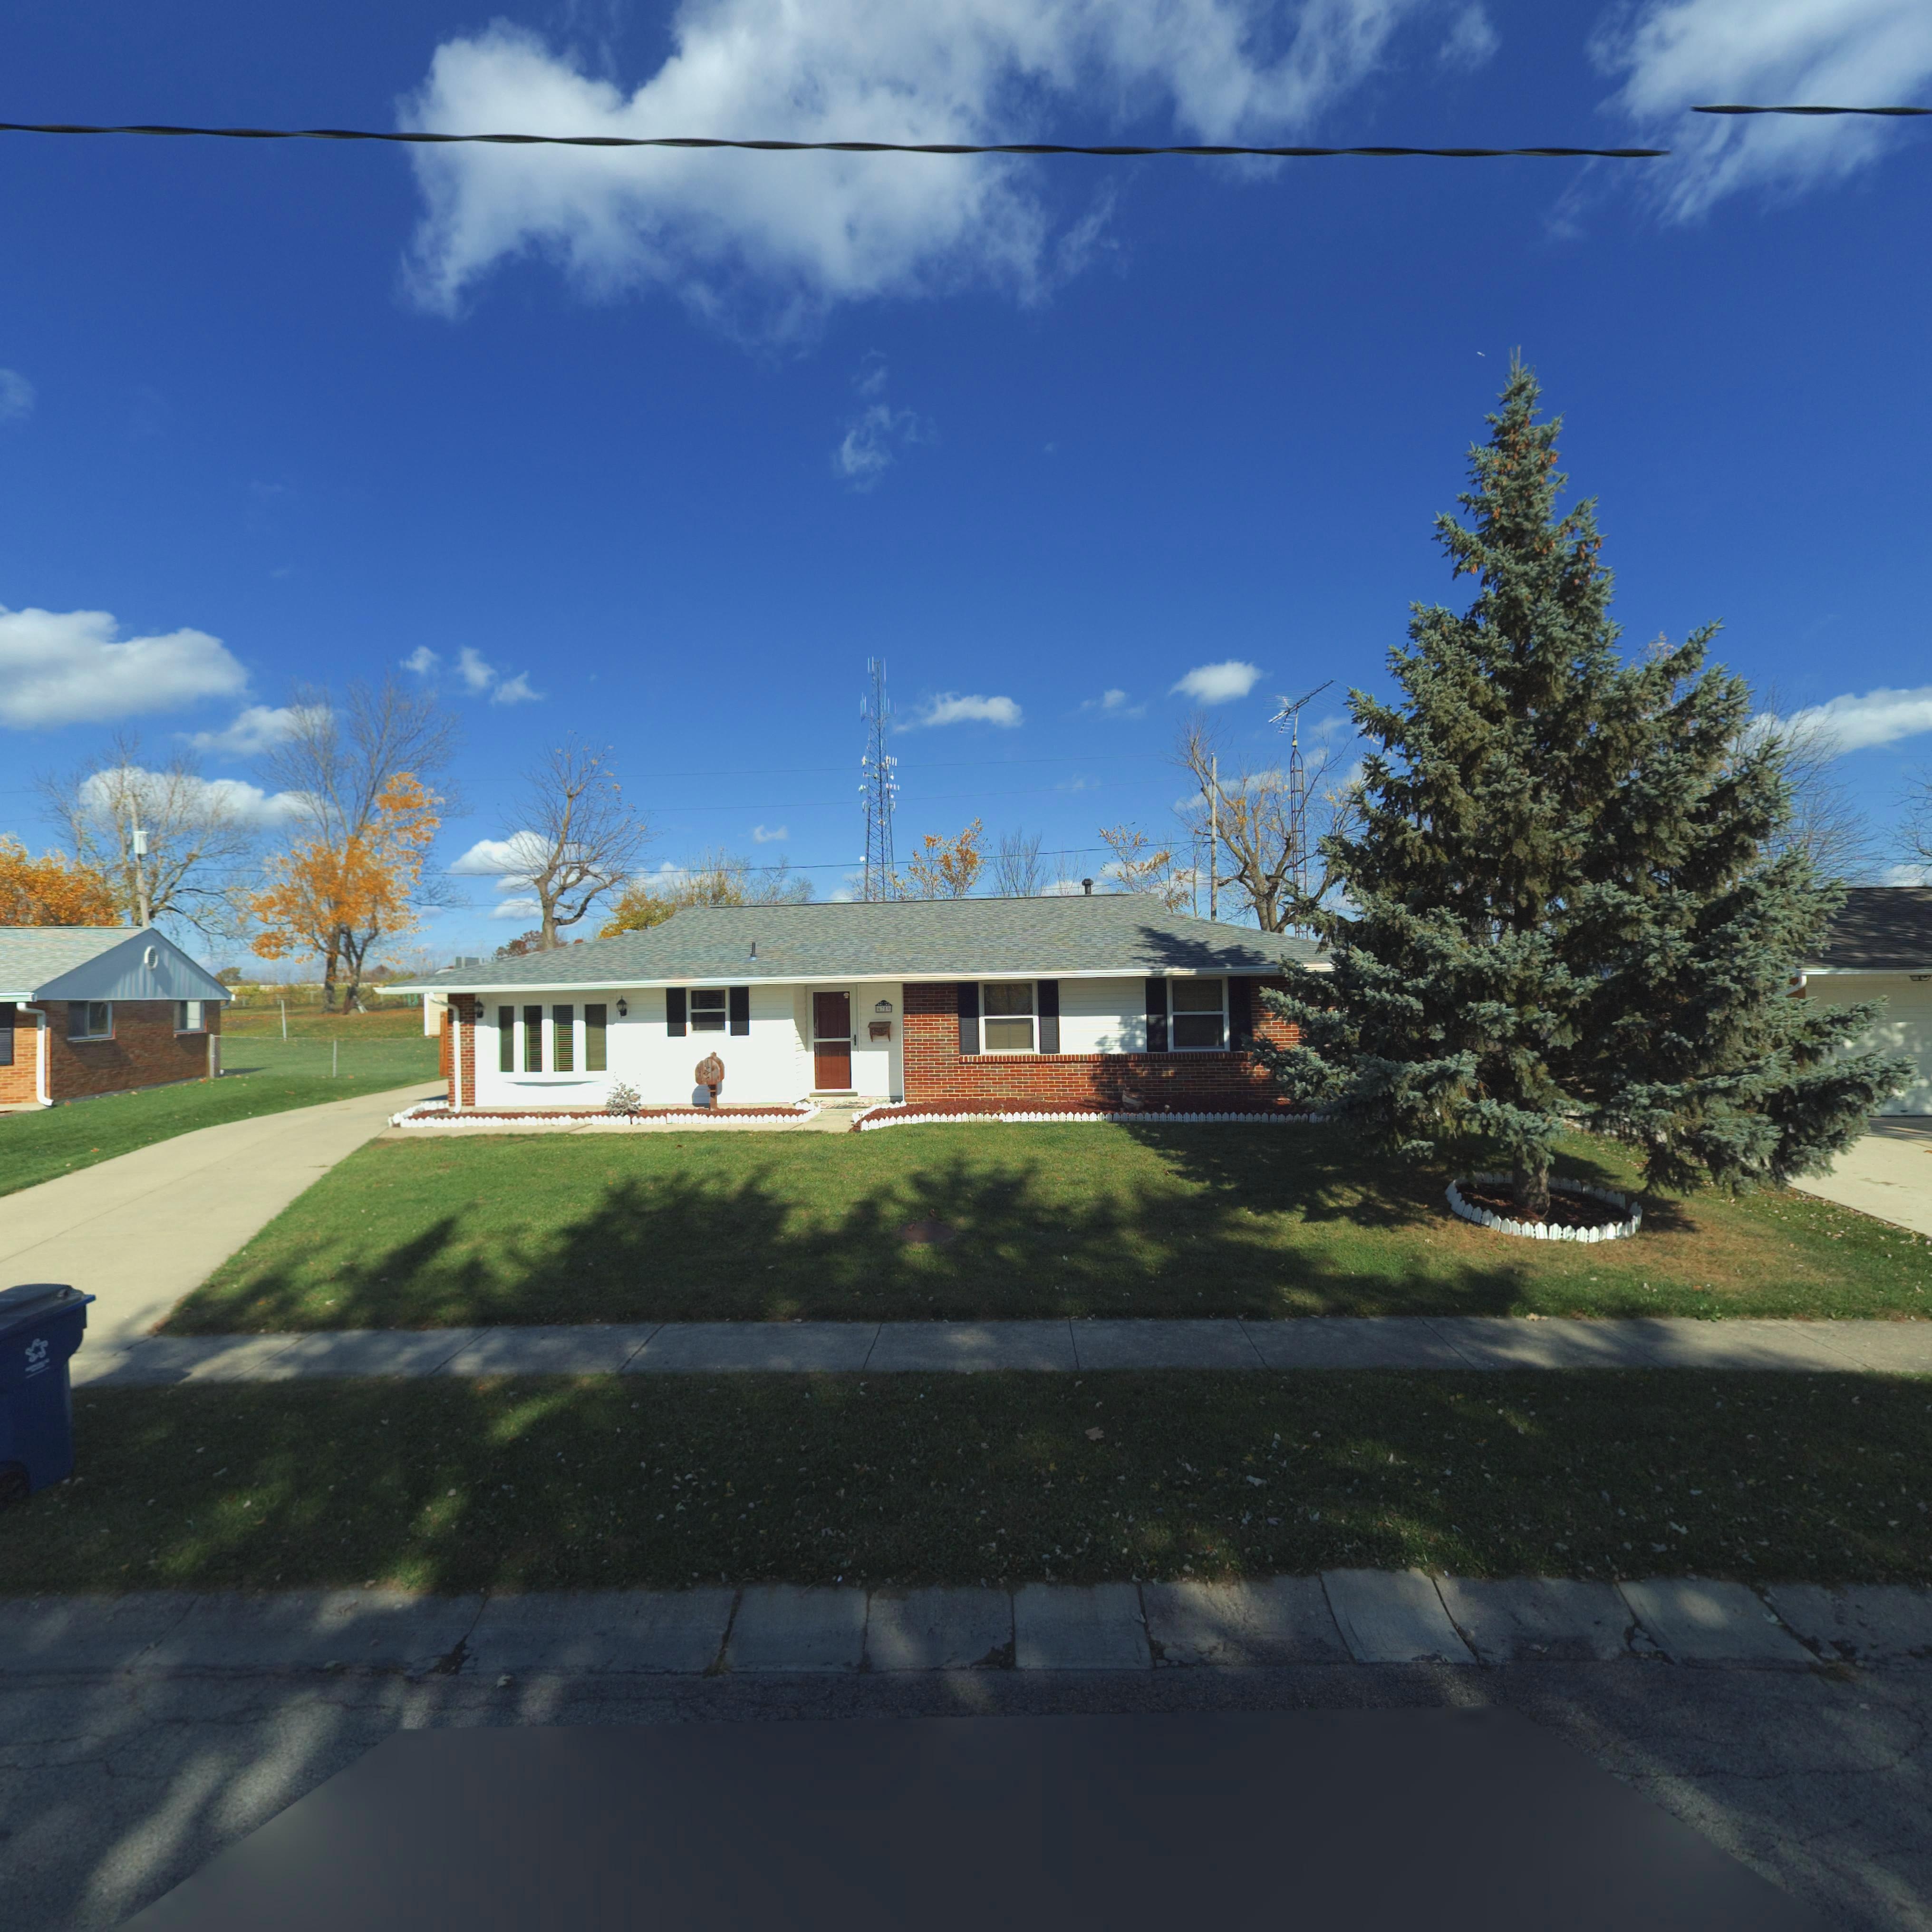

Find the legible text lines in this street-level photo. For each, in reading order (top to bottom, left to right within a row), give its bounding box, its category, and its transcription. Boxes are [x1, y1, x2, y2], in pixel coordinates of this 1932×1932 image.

[877, 1005, 891, 1012] StreetNumber: 67**